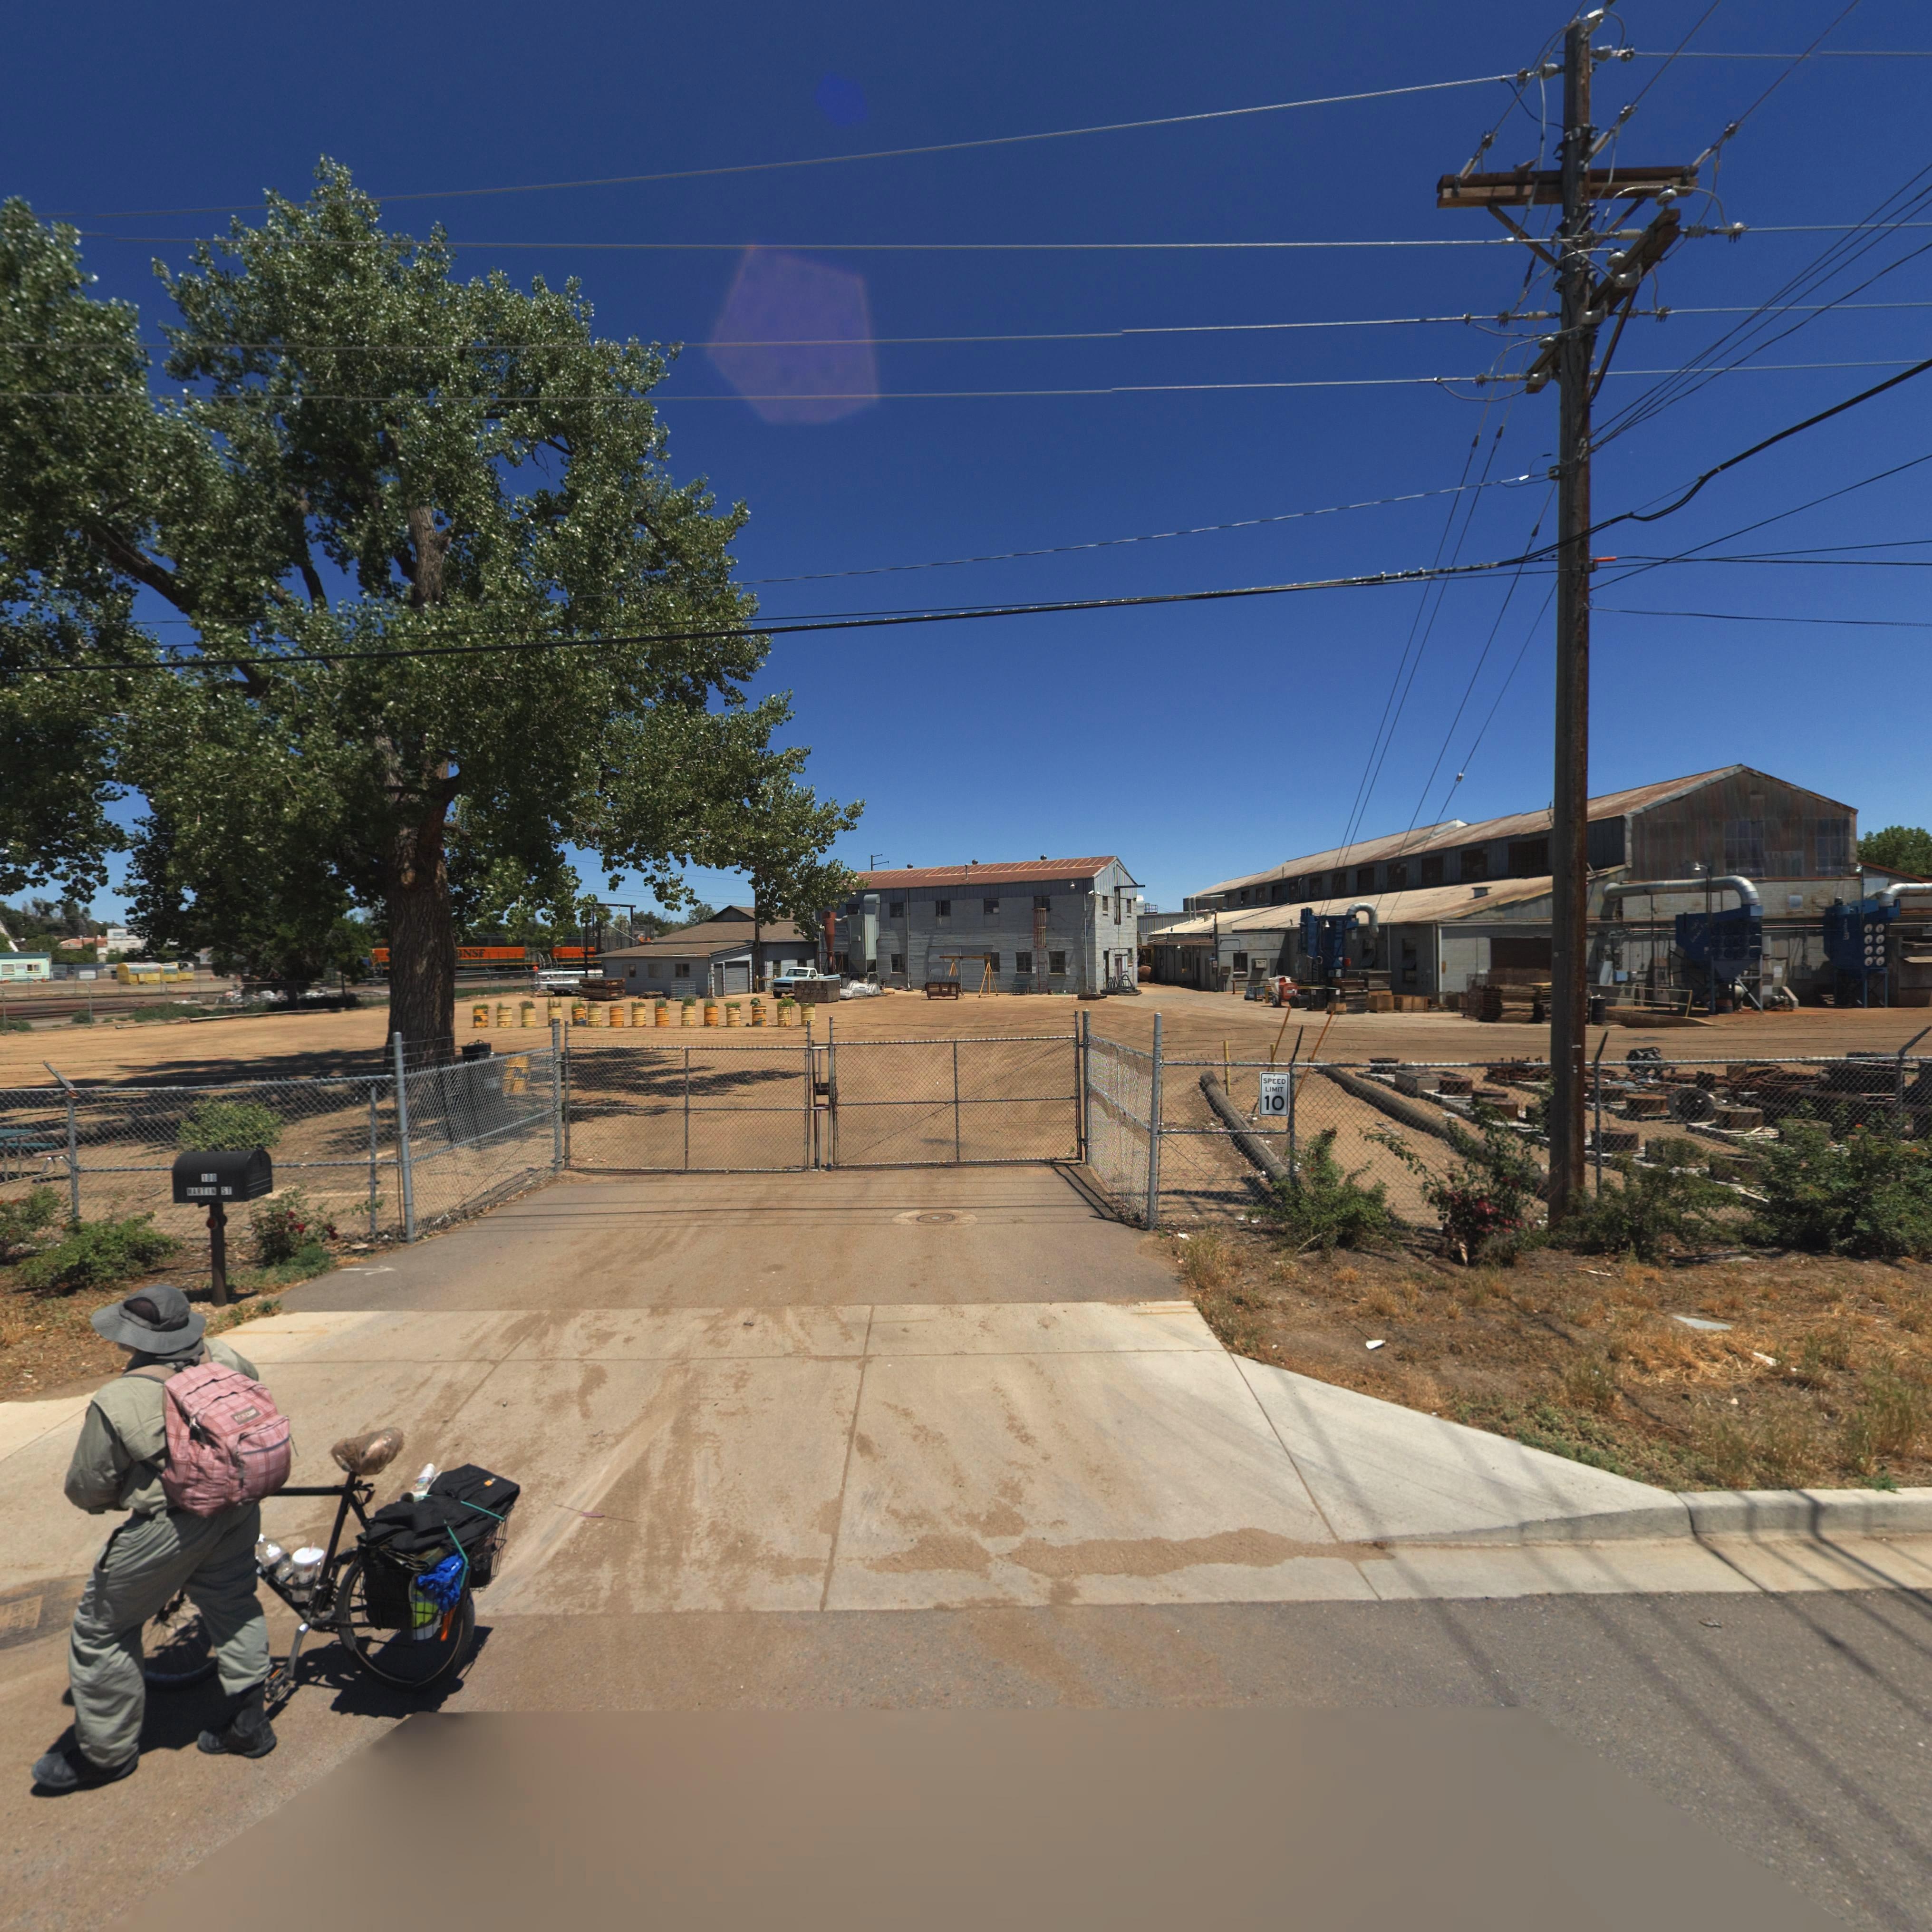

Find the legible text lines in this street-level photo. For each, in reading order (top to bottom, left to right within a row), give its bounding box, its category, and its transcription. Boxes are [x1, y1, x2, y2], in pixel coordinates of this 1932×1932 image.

[201, 1173, 217, 1182] StreetNumber: 10*
[186, 1186, 232, 1195] StreetName: MARTIN ST